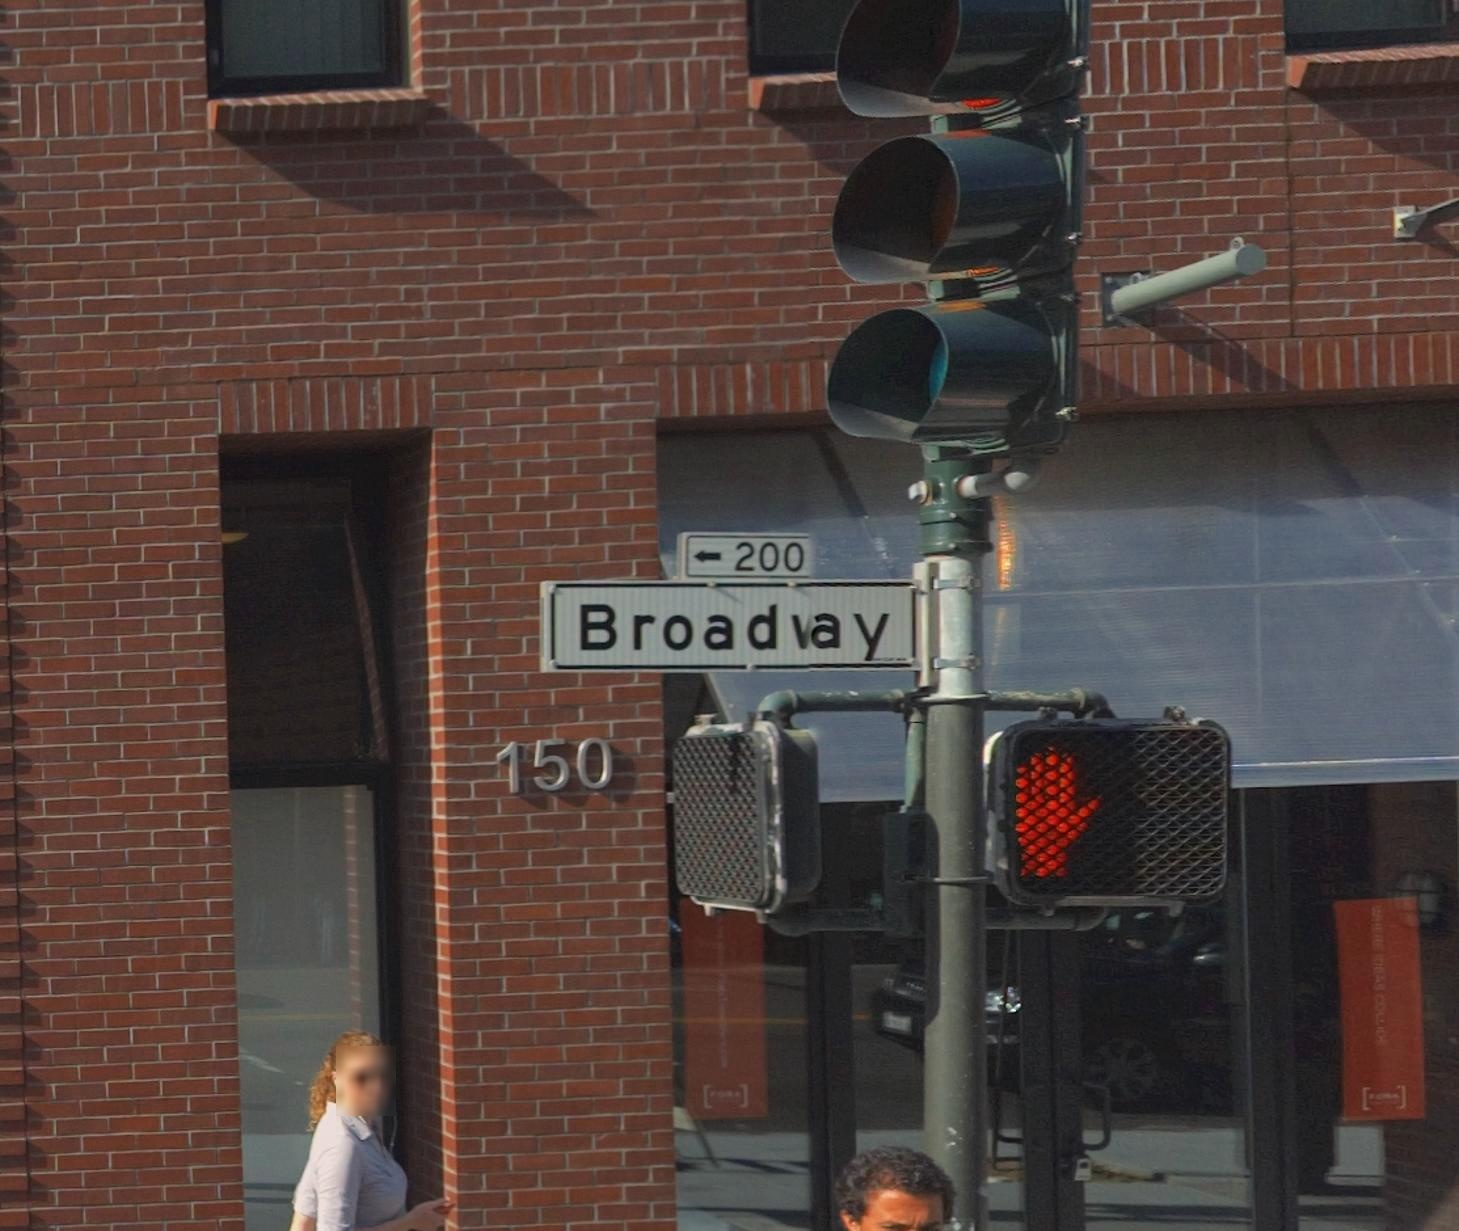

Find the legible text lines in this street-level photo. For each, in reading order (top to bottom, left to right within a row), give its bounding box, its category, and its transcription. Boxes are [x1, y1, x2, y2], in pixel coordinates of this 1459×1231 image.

[690, 538, 808, 574] StreetNumberRange: <-200
[574, 598, 897, 665] StreetName: Broad*ay
[491, 732, 619, 799] StreetNumber: 150